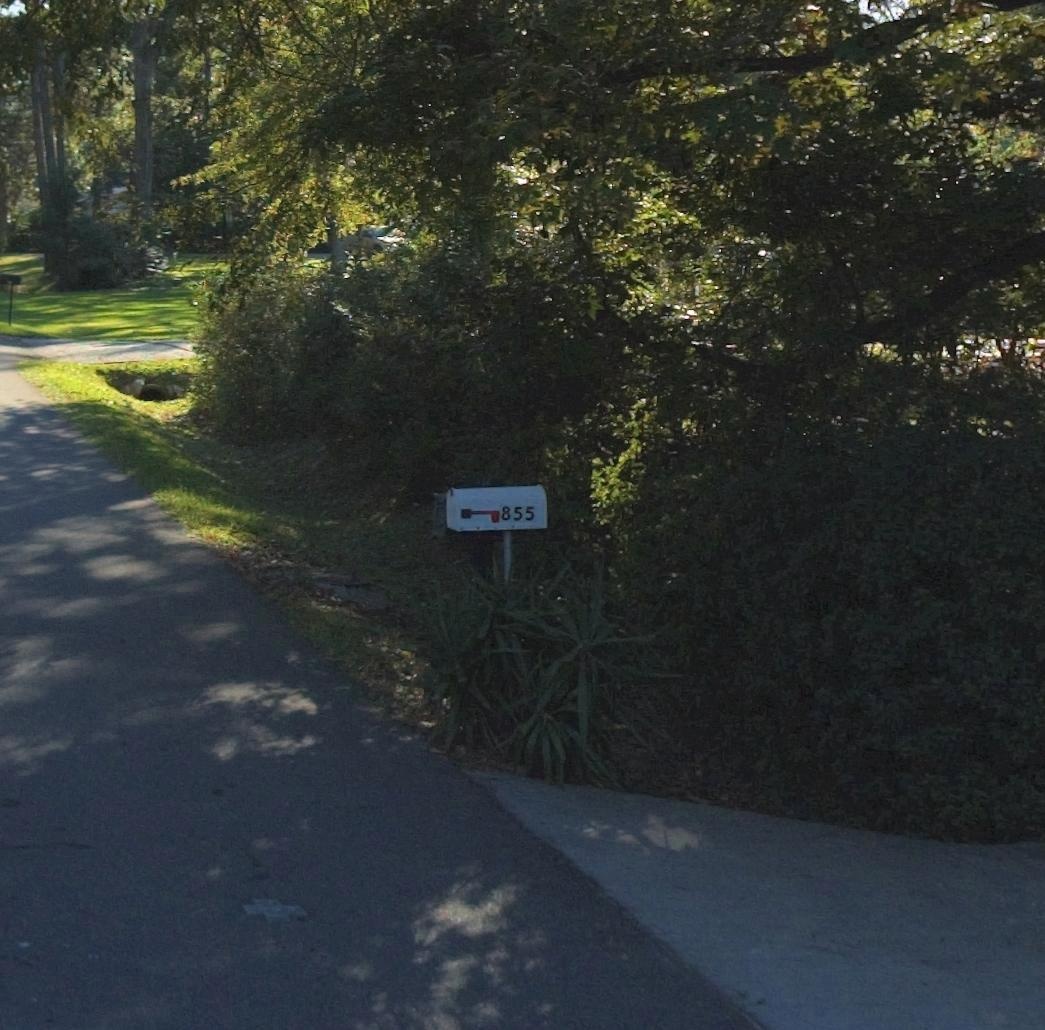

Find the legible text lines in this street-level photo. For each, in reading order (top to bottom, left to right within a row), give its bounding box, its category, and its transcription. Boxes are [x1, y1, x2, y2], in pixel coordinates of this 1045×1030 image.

[500, 504, 536, 523] StreetNumber: 855